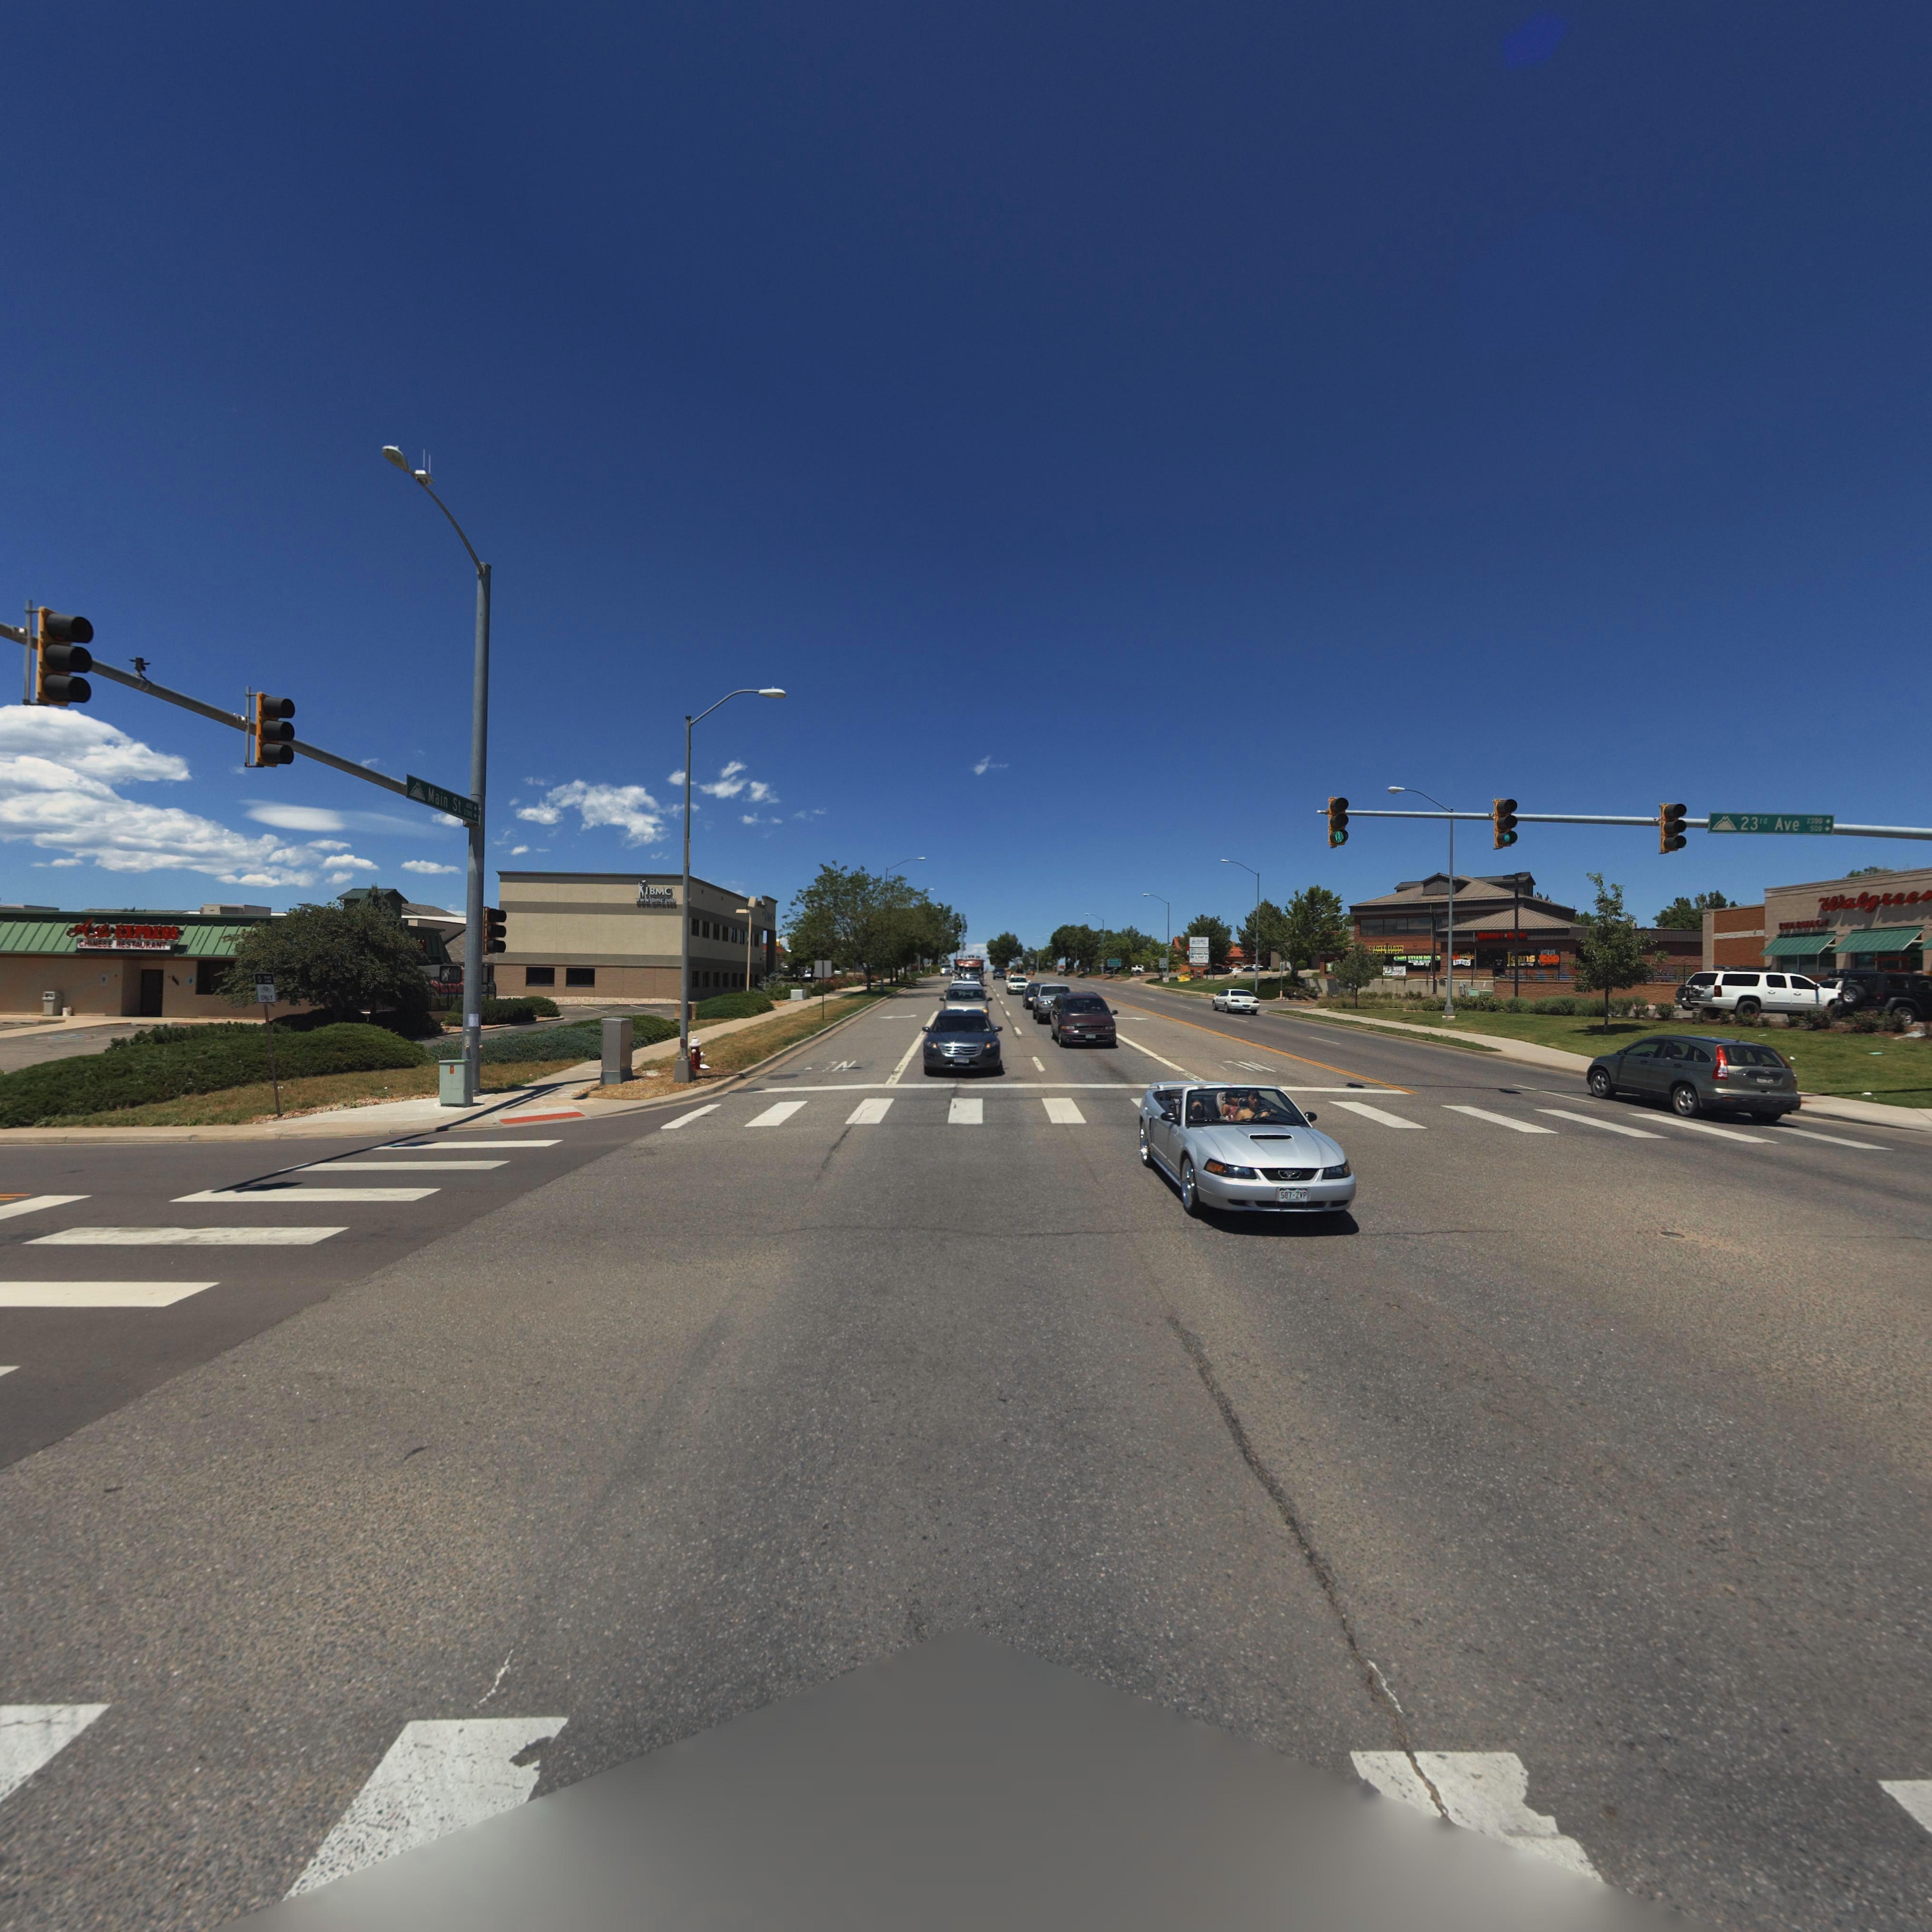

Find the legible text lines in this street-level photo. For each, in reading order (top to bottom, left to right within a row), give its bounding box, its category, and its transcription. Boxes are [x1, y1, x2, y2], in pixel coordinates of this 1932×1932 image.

[428, 786, 461, 813] StreetName: Main St
[465, 802, 473, 809] StreetNumberRange: 600
[464, 808, 477, 818] StreetNumberRange: 2300*
[1740, 816, 1799, 831] StreetName: 23rd Ave
[1806, 817, 1823, 824] StreetNumberRange: *3**
[1809, 825, 1830, 832] StreetNumberRange: 500*
[645, 887, 671, 895] BusinessName: IBMC
[1817, 890, 1920, 913] BusinessName: Walgree
[66, 917, 180, 940] BusinessName: Ali EXPRESS